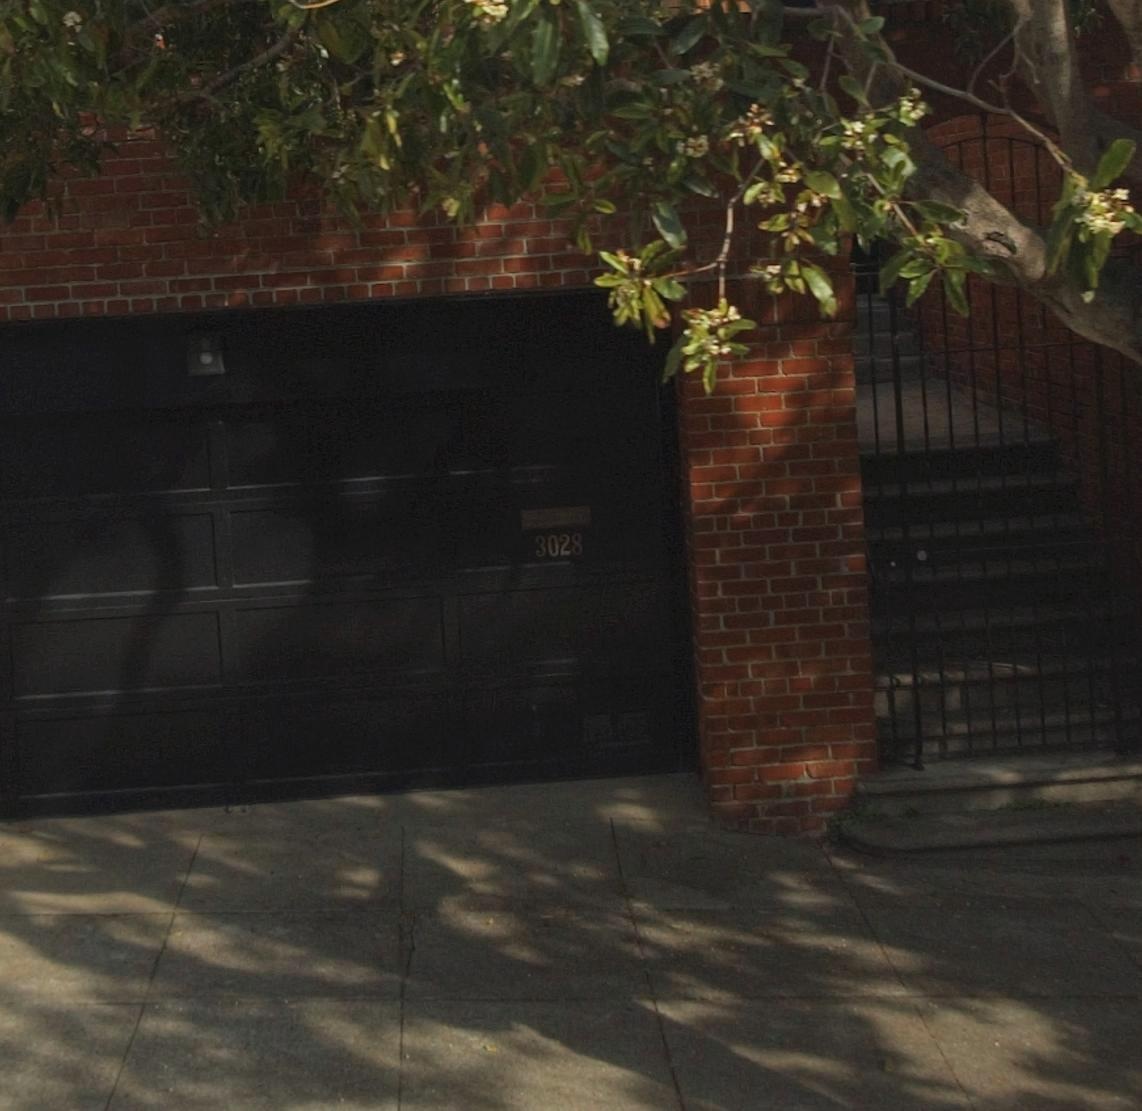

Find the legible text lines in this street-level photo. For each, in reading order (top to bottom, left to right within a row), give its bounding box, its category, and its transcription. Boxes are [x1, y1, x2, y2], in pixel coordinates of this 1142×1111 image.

[531, 530, 586, 560] StreetNumber: 3028